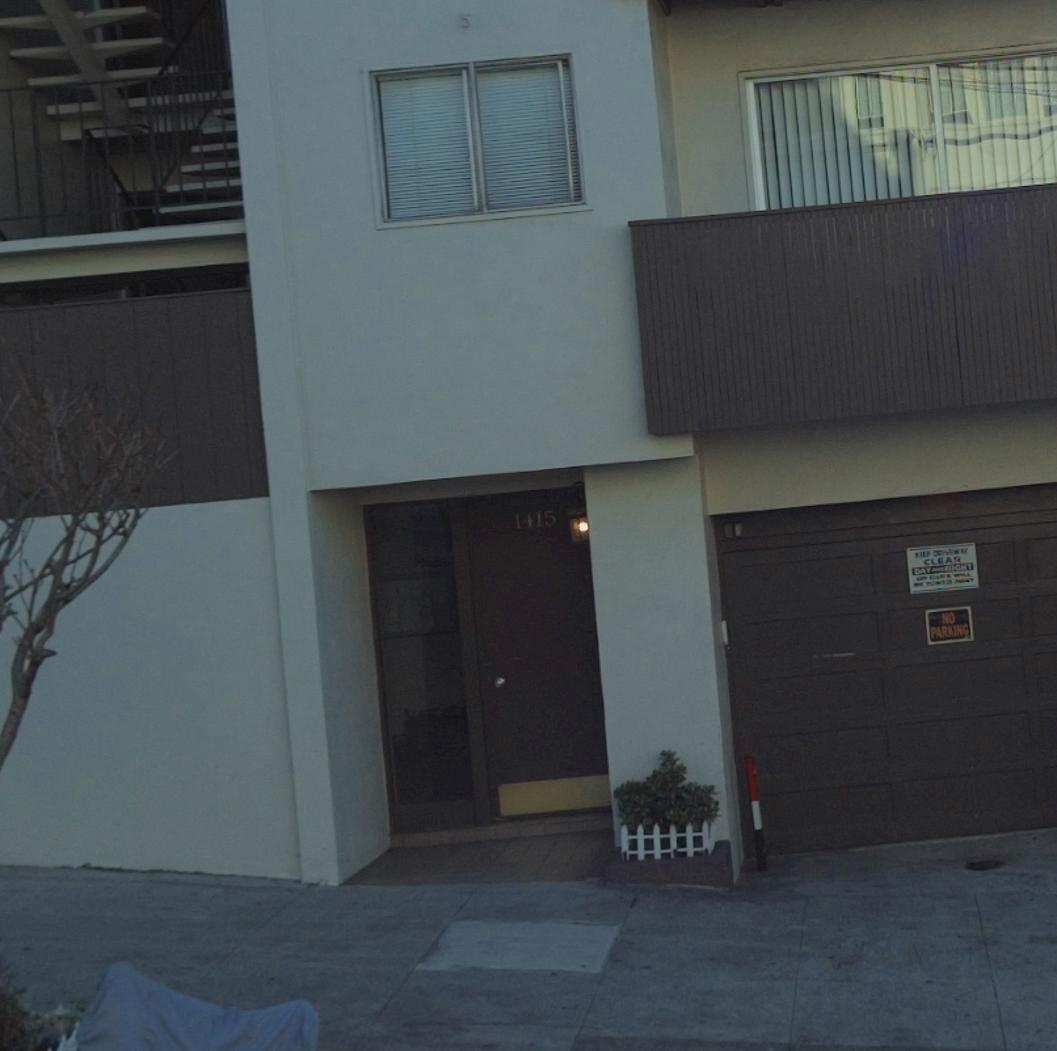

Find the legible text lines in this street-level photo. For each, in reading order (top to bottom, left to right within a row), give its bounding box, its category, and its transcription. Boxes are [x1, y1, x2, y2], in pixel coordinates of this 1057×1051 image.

[512, 507, 558, 531] StreetNumber: 1415
[913, 547, 969, 560] None: KEEP DRIVEWAY
[922, 555, 962, 567] None: CLEAR
[912, 562, 973, 576] None: DAY AND NIGHT
[940, 611, 956, 626] None: NO
[929, 623, 970, 640] None: PARKING